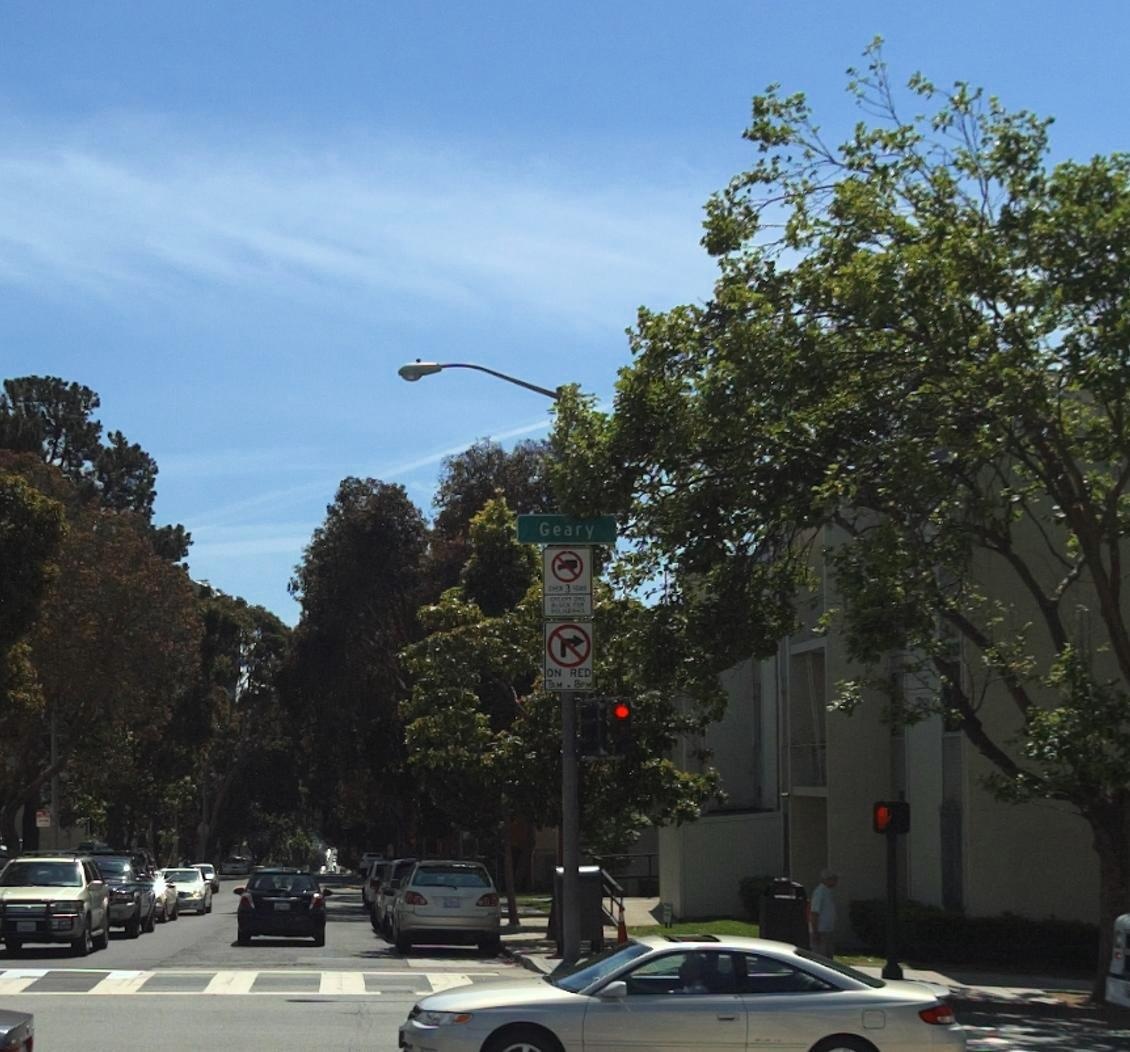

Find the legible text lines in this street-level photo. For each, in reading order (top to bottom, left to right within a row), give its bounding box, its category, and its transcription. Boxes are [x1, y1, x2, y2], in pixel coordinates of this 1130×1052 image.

[539, 519, 596, 540] StreetName: Geary
[545, 666, 590, 677] None: ON RED
[545, 677, 591, 689] None: 3AM * 8PM